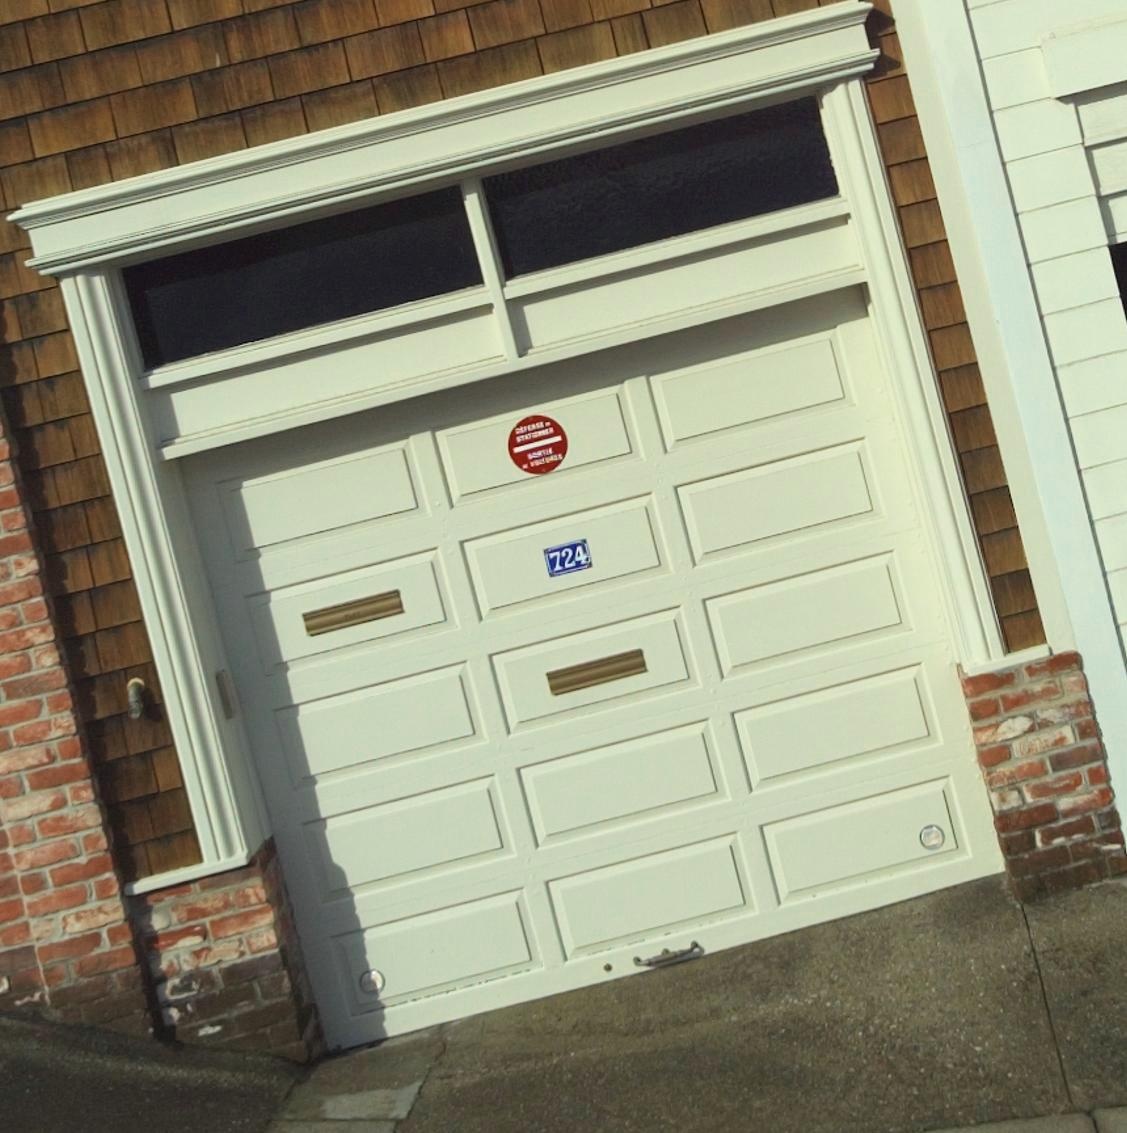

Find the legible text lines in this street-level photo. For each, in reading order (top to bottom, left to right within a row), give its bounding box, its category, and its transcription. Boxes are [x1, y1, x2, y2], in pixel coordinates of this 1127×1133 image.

[547, 544, 588, 572] StreetNumber: 724